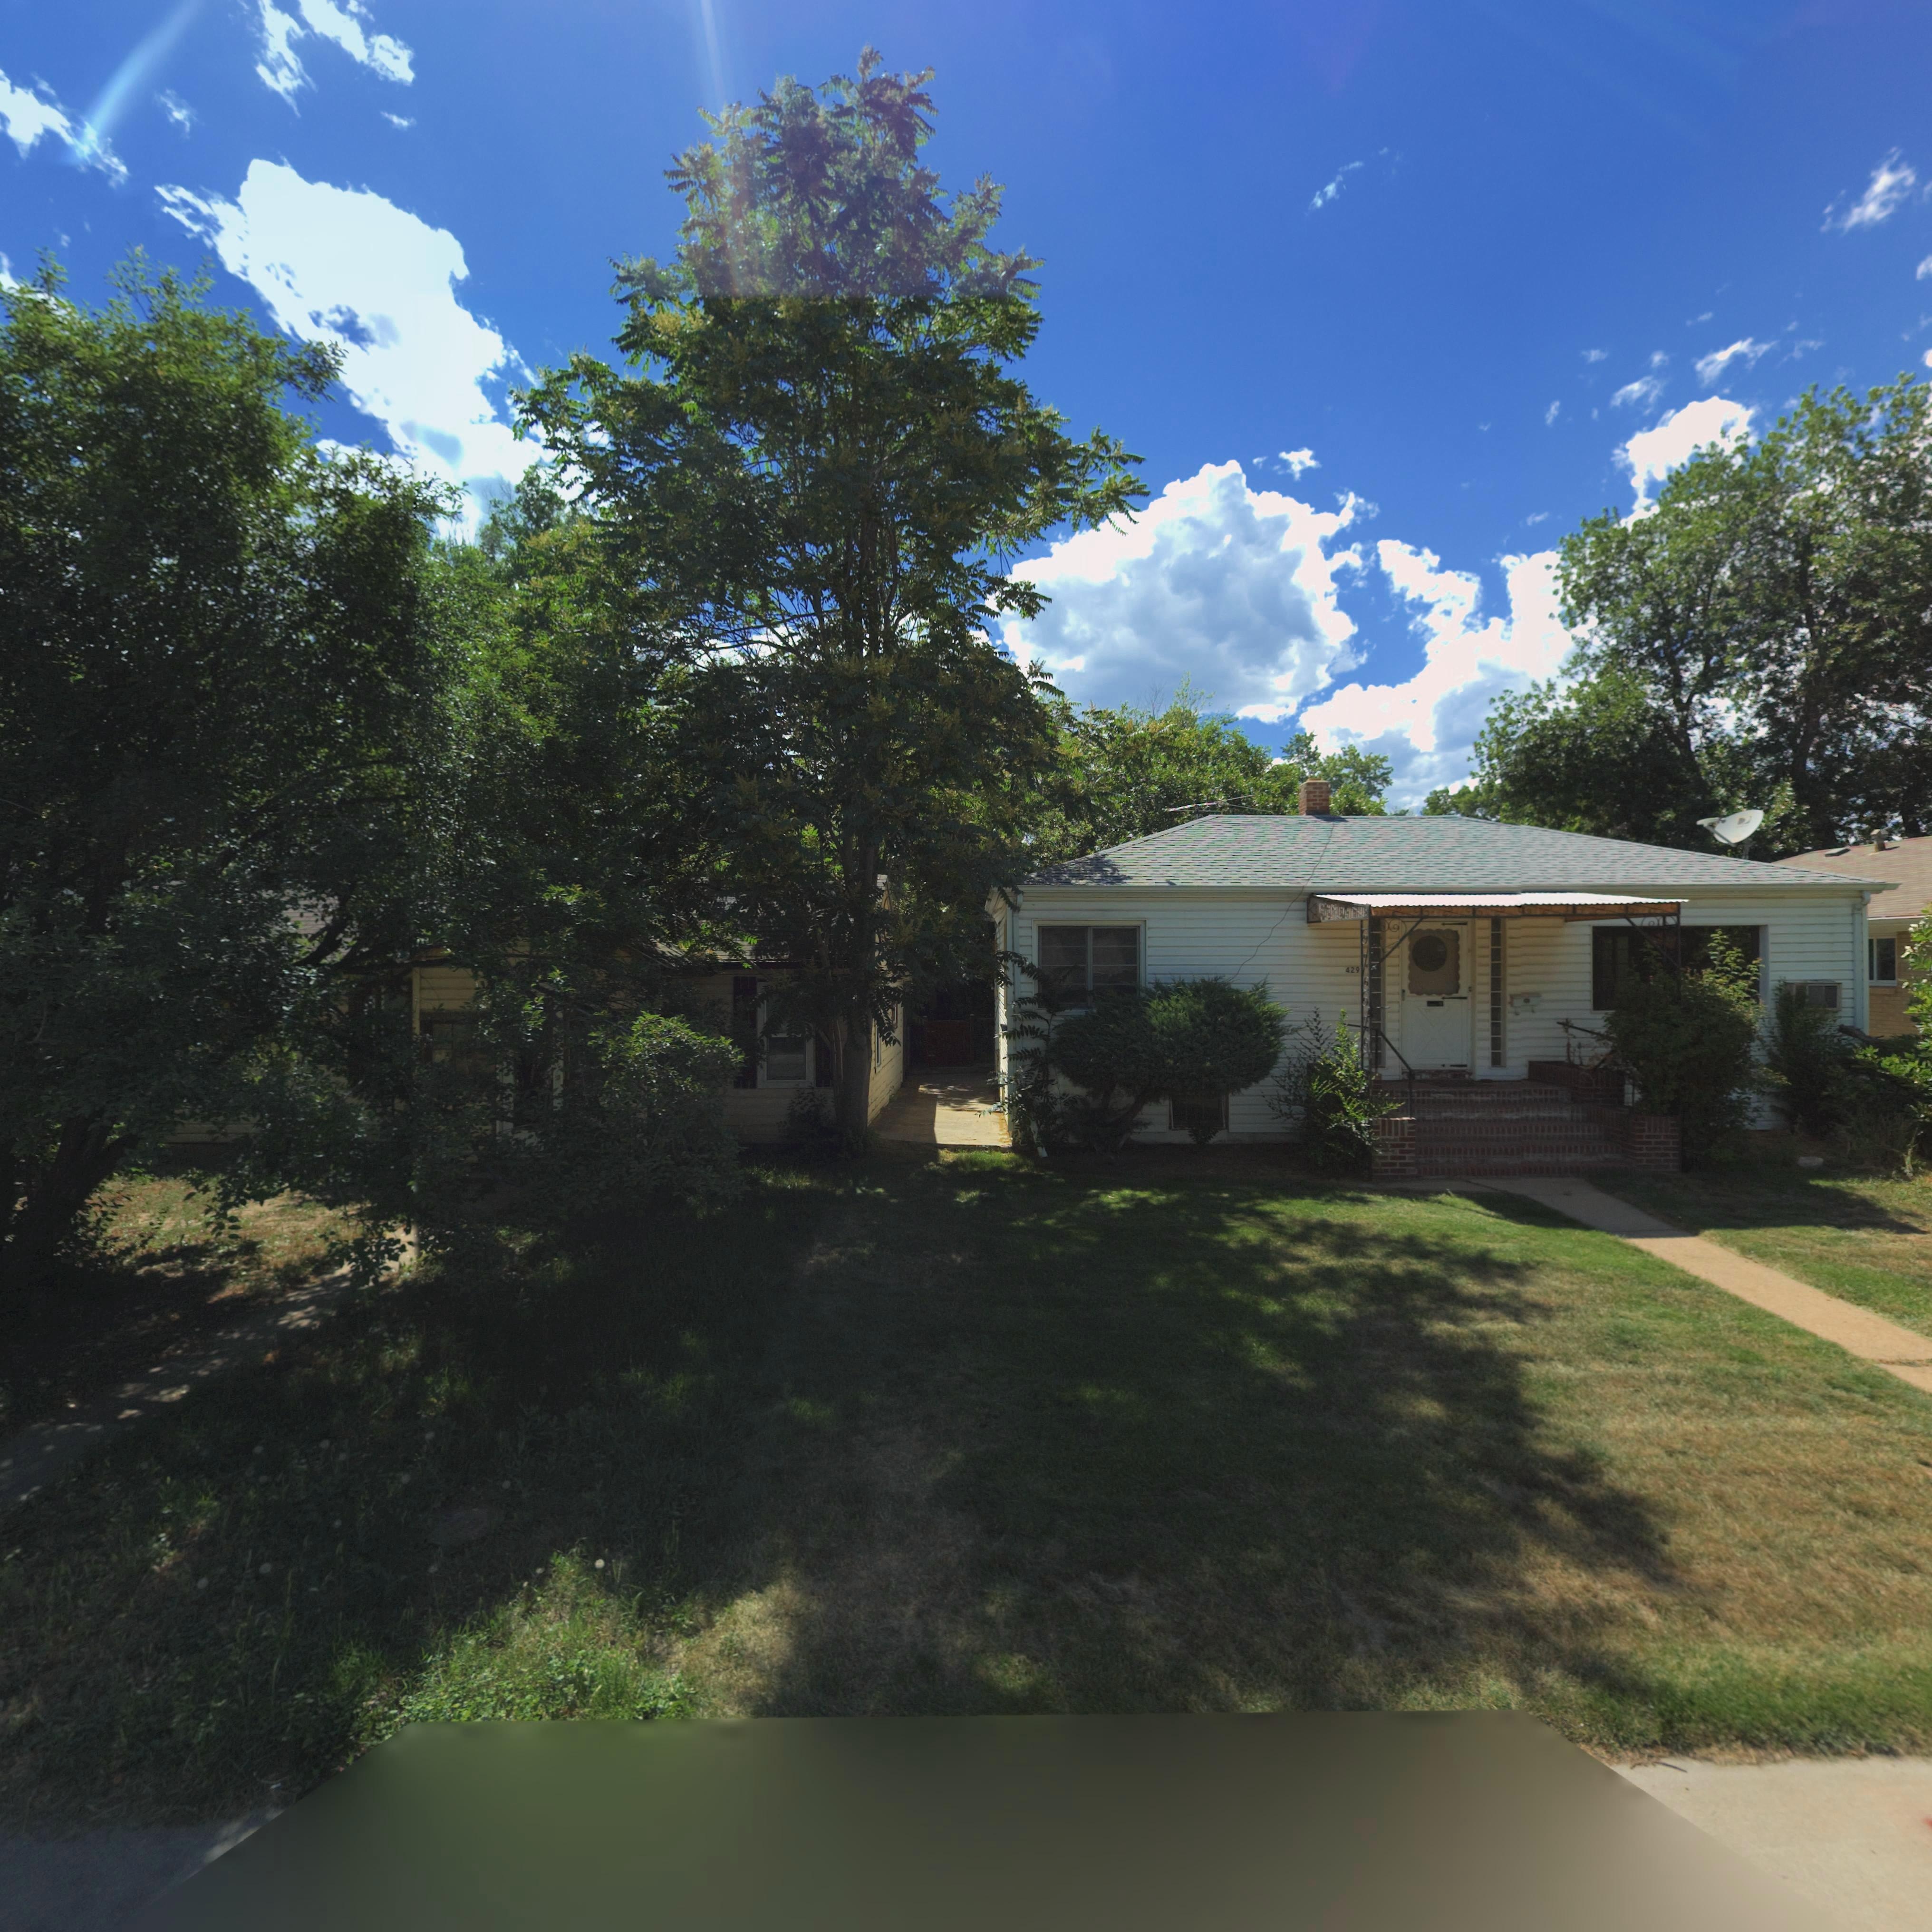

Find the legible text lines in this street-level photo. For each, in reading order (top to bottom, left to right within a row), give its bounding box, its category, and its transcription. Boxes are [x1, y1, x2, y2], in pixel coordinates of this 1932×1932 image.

[1345, 966, 1360, 973] StreetNumber: 429